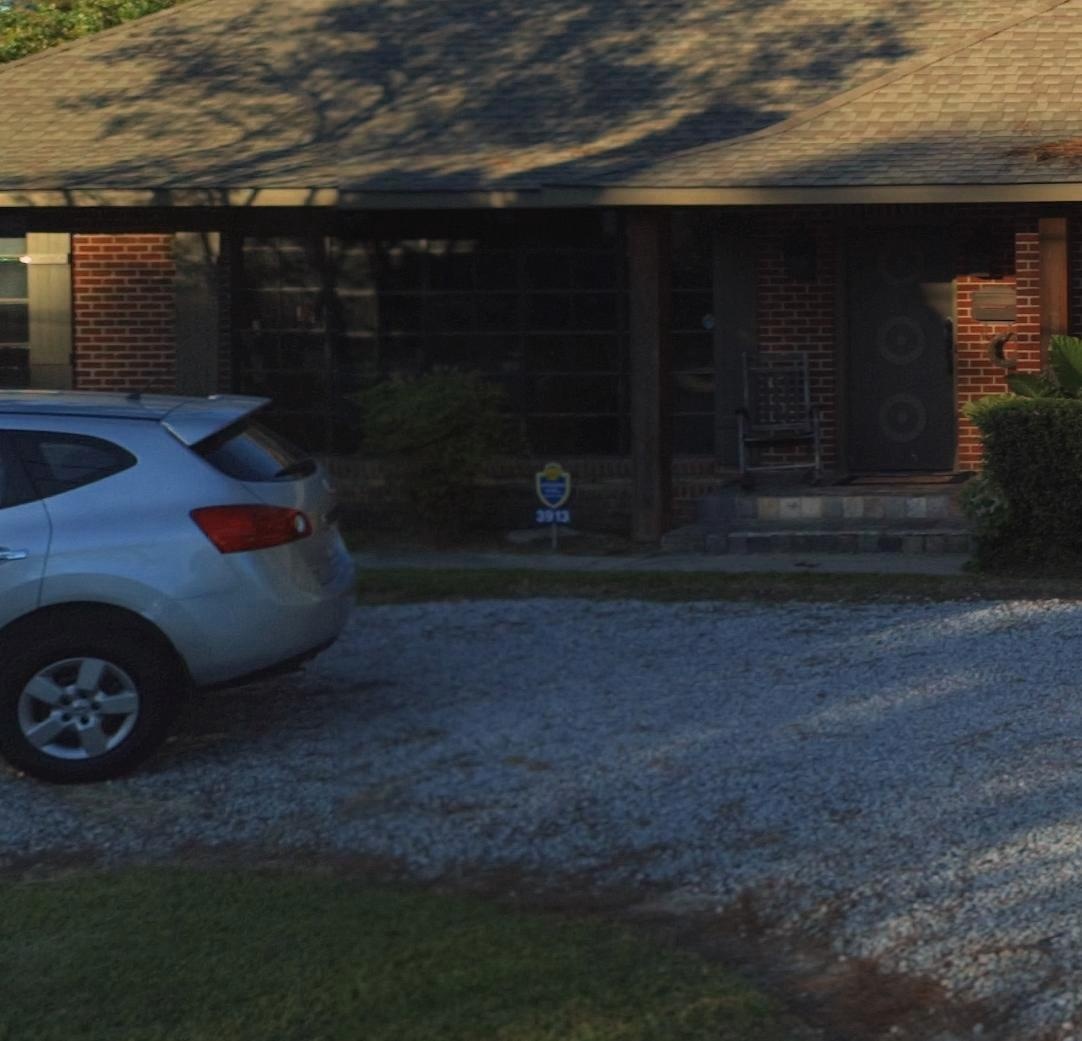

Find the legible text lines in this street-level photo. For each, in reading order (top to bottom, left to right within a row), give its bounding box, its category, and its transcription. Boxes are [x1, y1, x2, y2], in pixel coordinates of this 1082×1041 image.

[533, 508, 572, 525] StreetNumber: 3913